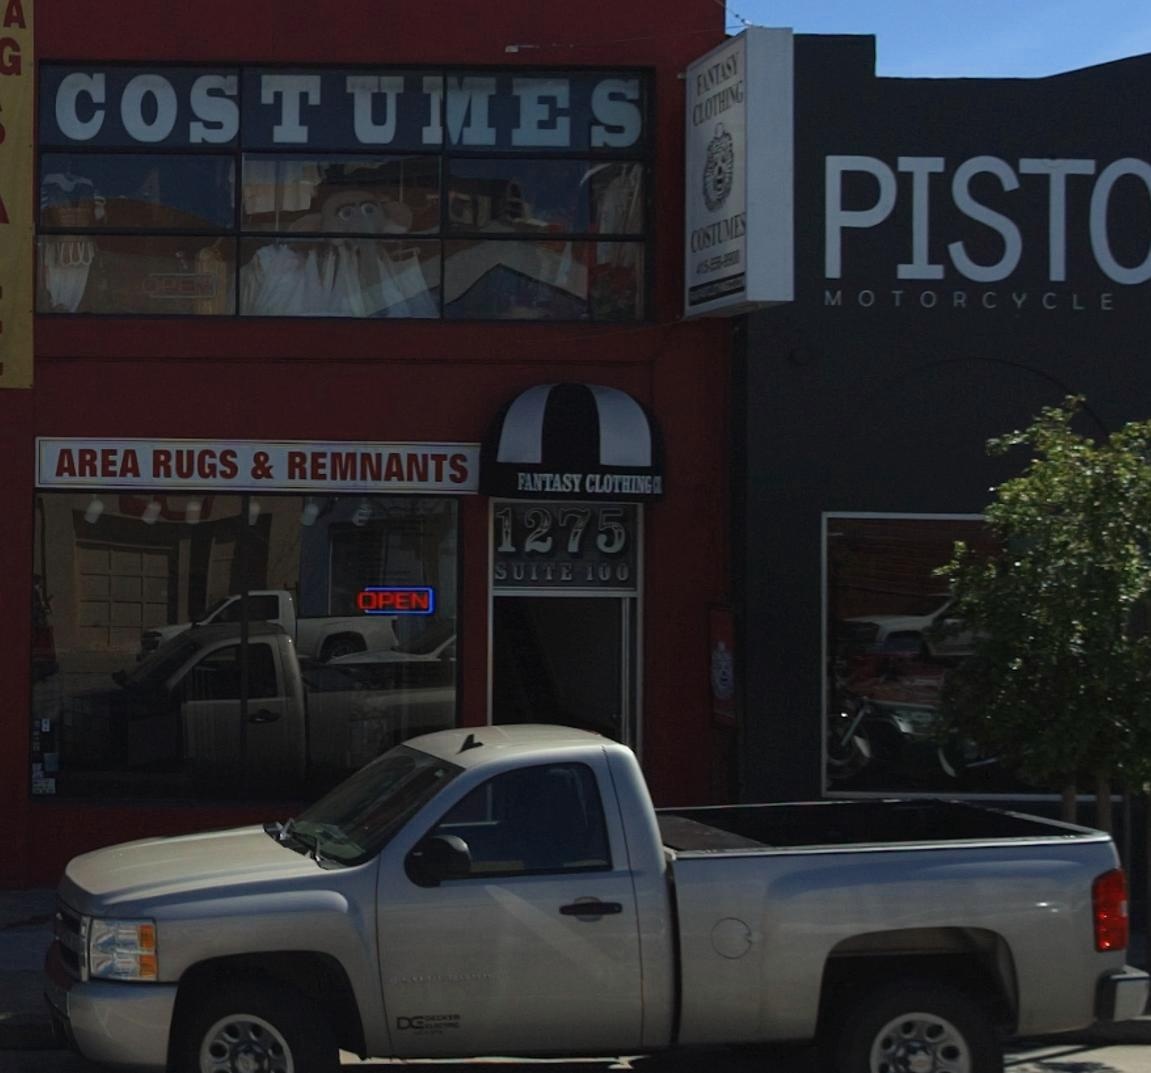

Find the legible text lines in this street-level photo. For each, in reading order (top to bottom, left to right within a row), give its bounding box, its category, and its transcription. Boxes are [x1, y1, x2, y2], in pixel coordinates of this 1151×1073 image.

[0, 0, 30, 34] None: A
[693, 45, 741, 103] BusinessName: FANTASY
[48, 66, 647, 155] None: COSTUMES
[688, 75, 748, 133] BusinessName: CLOTHING
[686, 205, 751, 259] None: COSTUMES
[818, 149, 1105, 290] BusinessName: PIST
[137, 273, 215, 299] None: OPEN
[817, 281, 1118, 316] BusinessName: MOTORCYCLE
[49, 444, 471, 489] None: AREA RUGS & REMNANTS
[514, 467, 655, 498] BusinessName: FANTASY CLOTHING
[490, 503, 631, 558] StreetNumber: 1275
[490, 558, 637, 585] SecondaryUnitDesignator: SUITE 100
[353, 587, 432, 615] None: OPEN
[394, 1012, 415, 1034] None: D